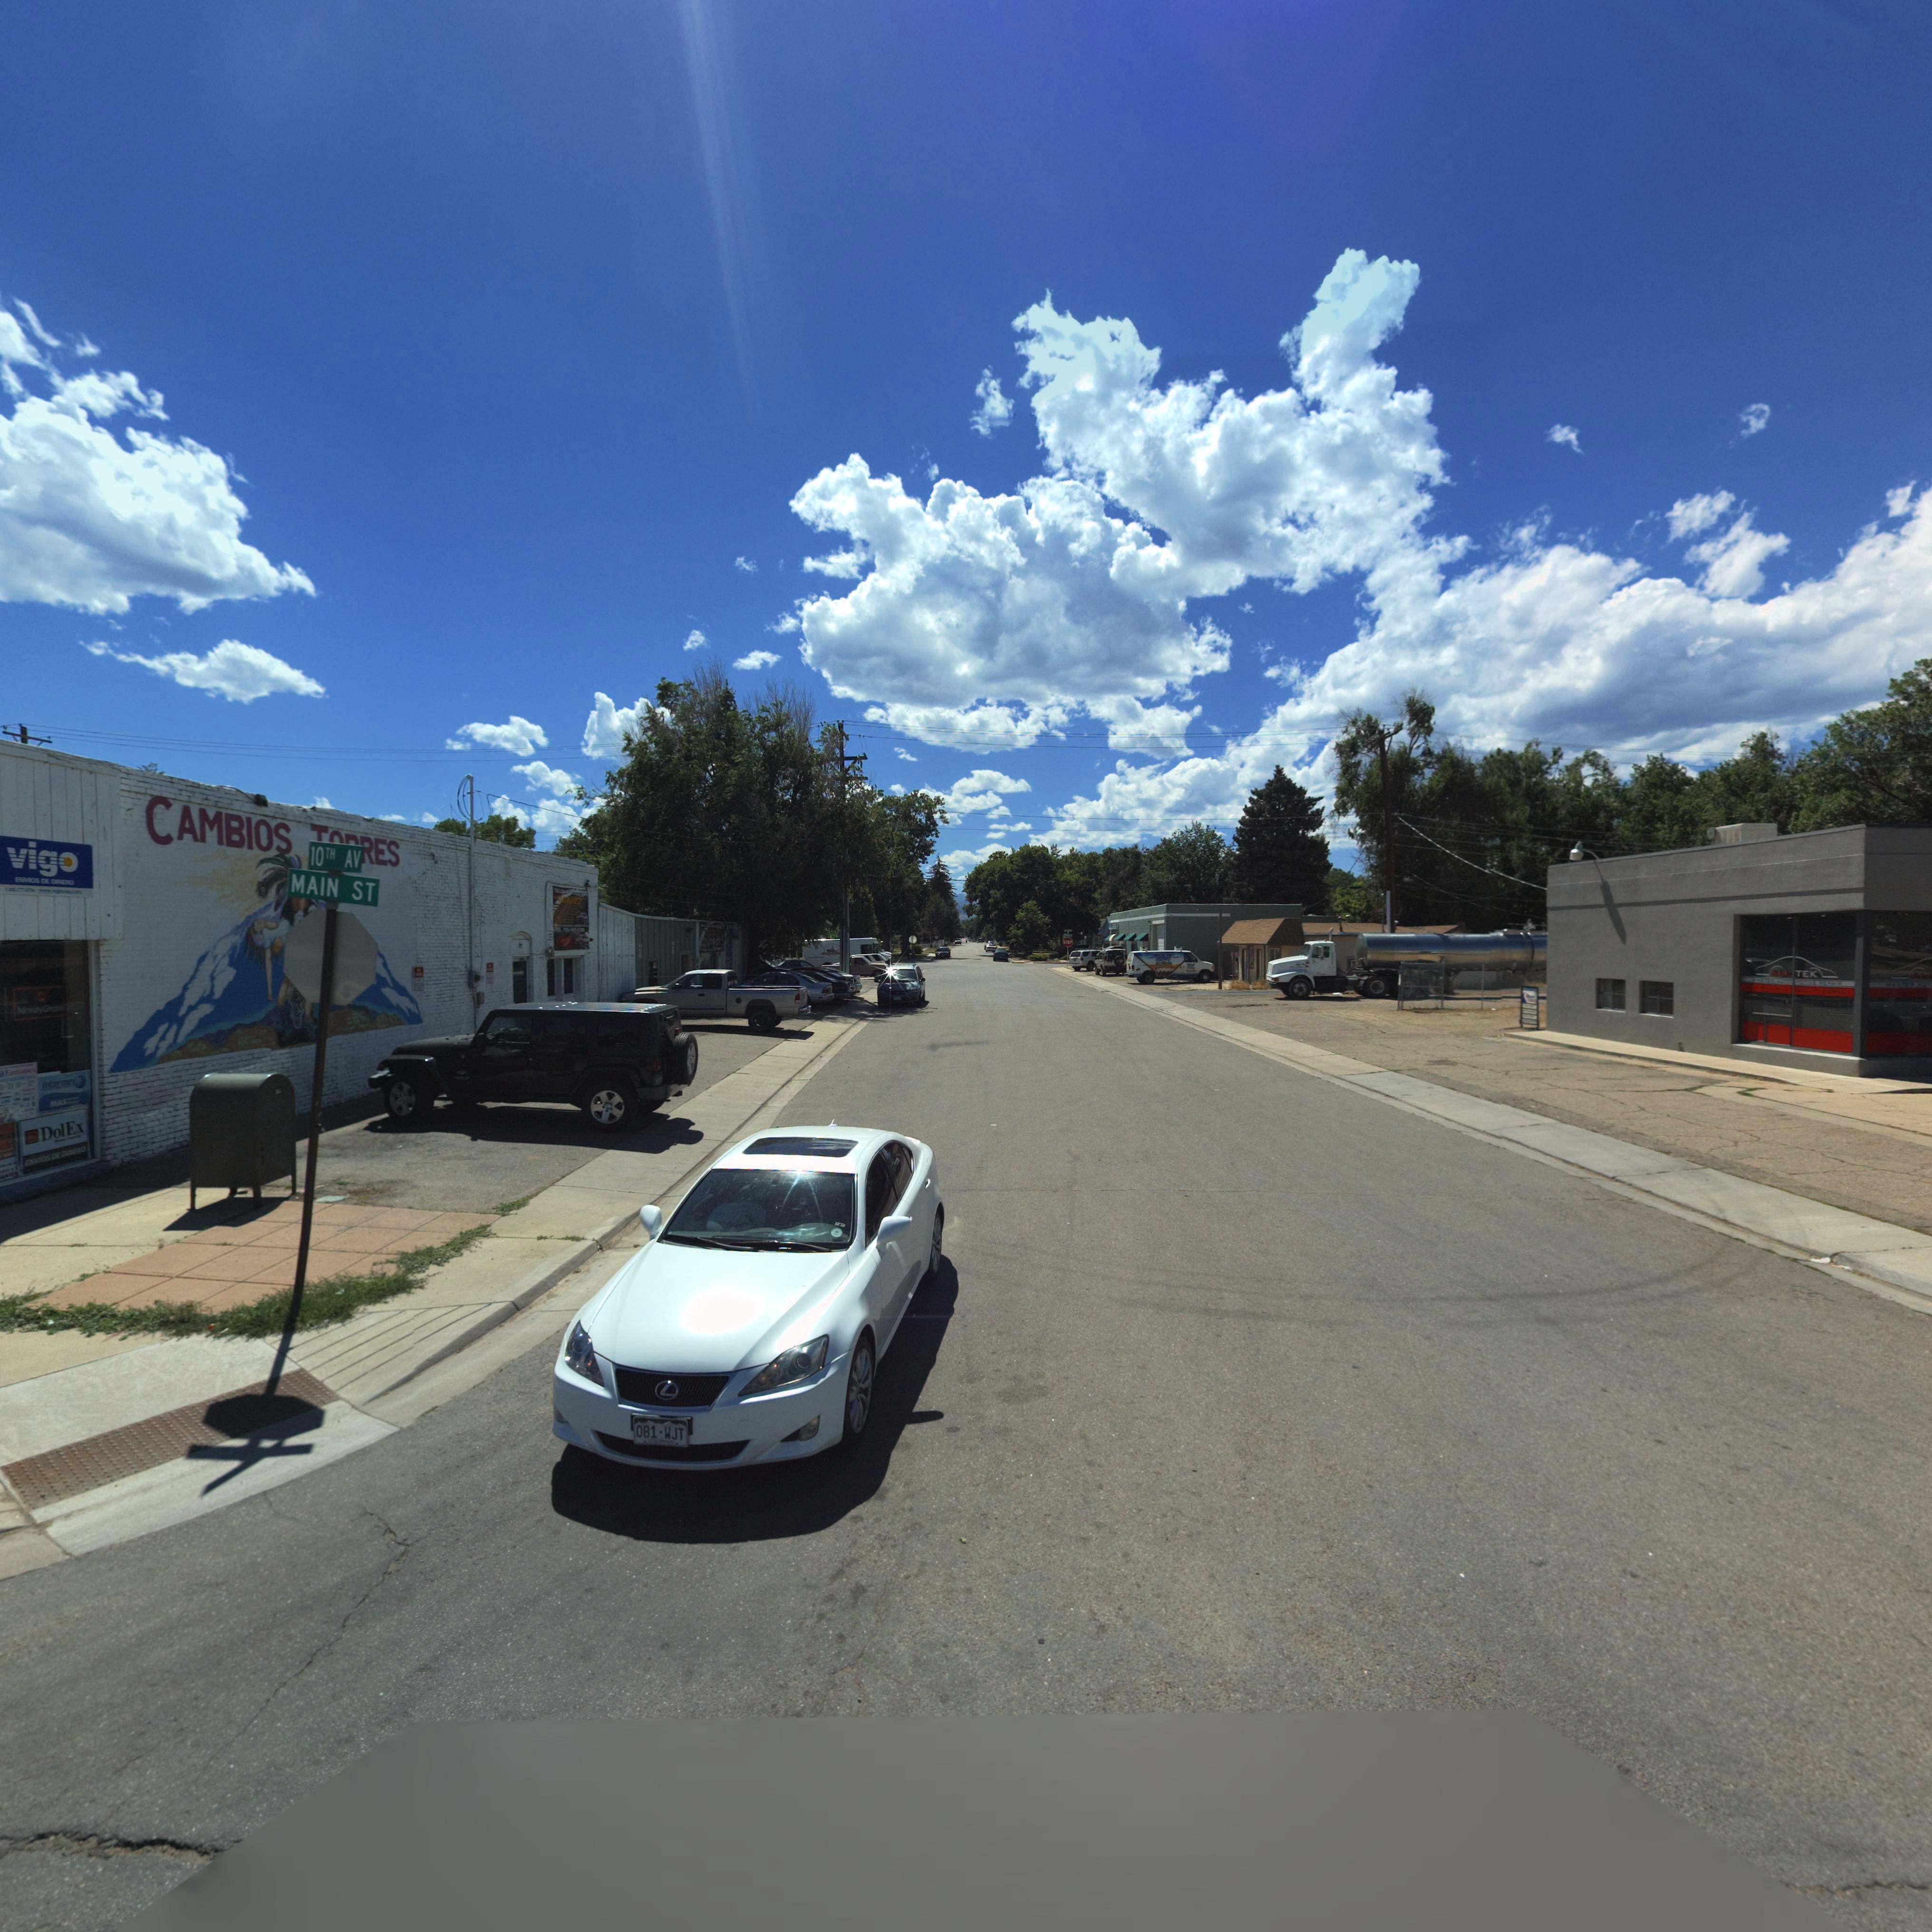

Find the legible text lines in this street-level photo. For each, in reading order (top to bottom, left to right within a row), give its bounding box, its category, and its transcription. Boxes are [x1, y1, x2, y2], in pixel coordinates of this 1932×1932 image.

[145, 795, 400, 868] BusinessName: CAMBIOS ***RES
[310, 846, 361, 869] StreetName: 10TH AV
[291, 873, 376, 902] StreetName: MAIN ST
[1770, 969, 1817, 978] BusinessName: ALL TEK